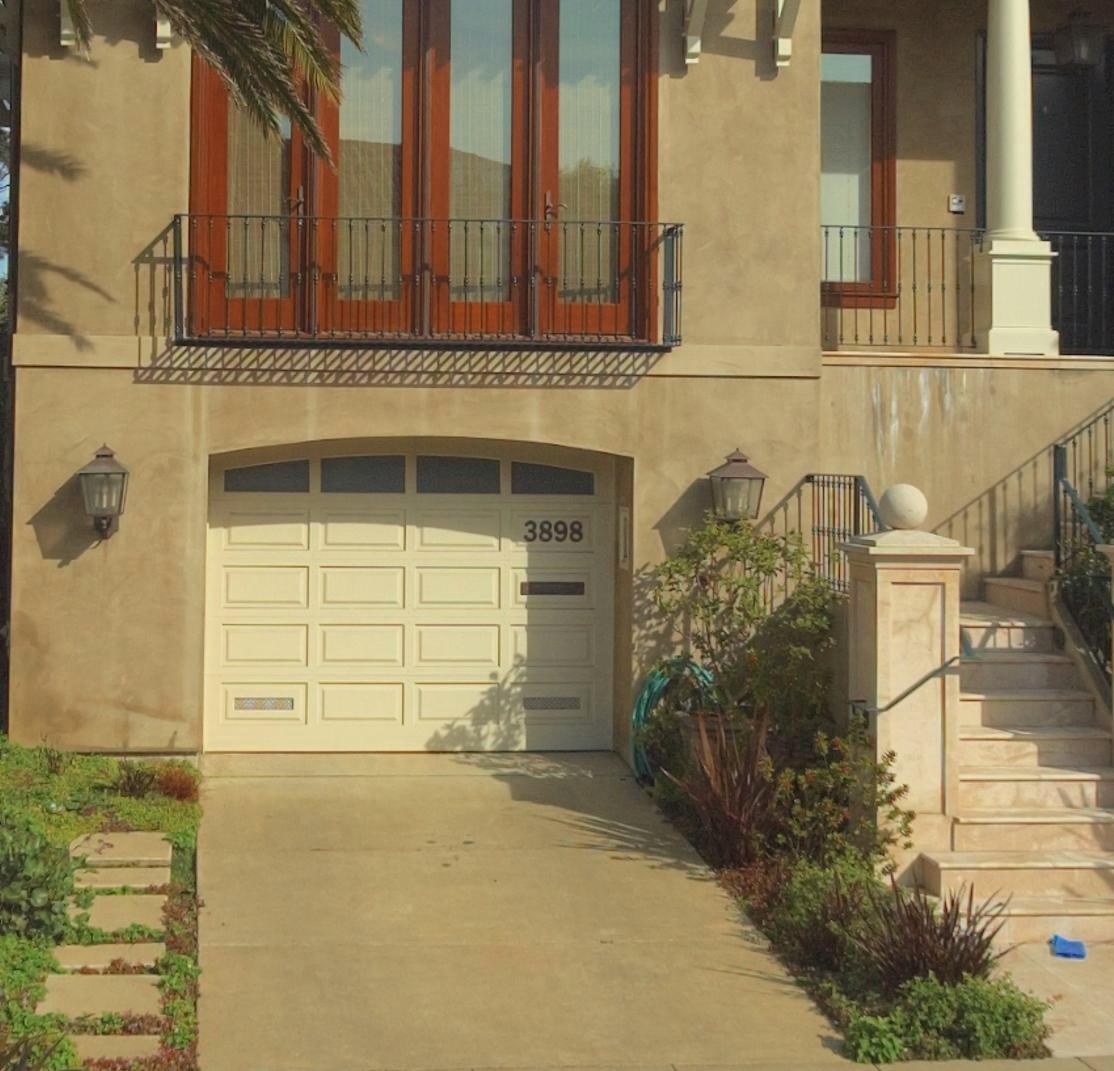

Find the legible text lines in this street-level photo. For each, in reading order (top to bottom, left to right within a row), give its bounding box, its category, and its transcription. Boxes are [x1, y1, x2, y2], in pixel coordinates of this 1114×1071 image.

[521, 518, 586, 544] StreetNumber: 3898